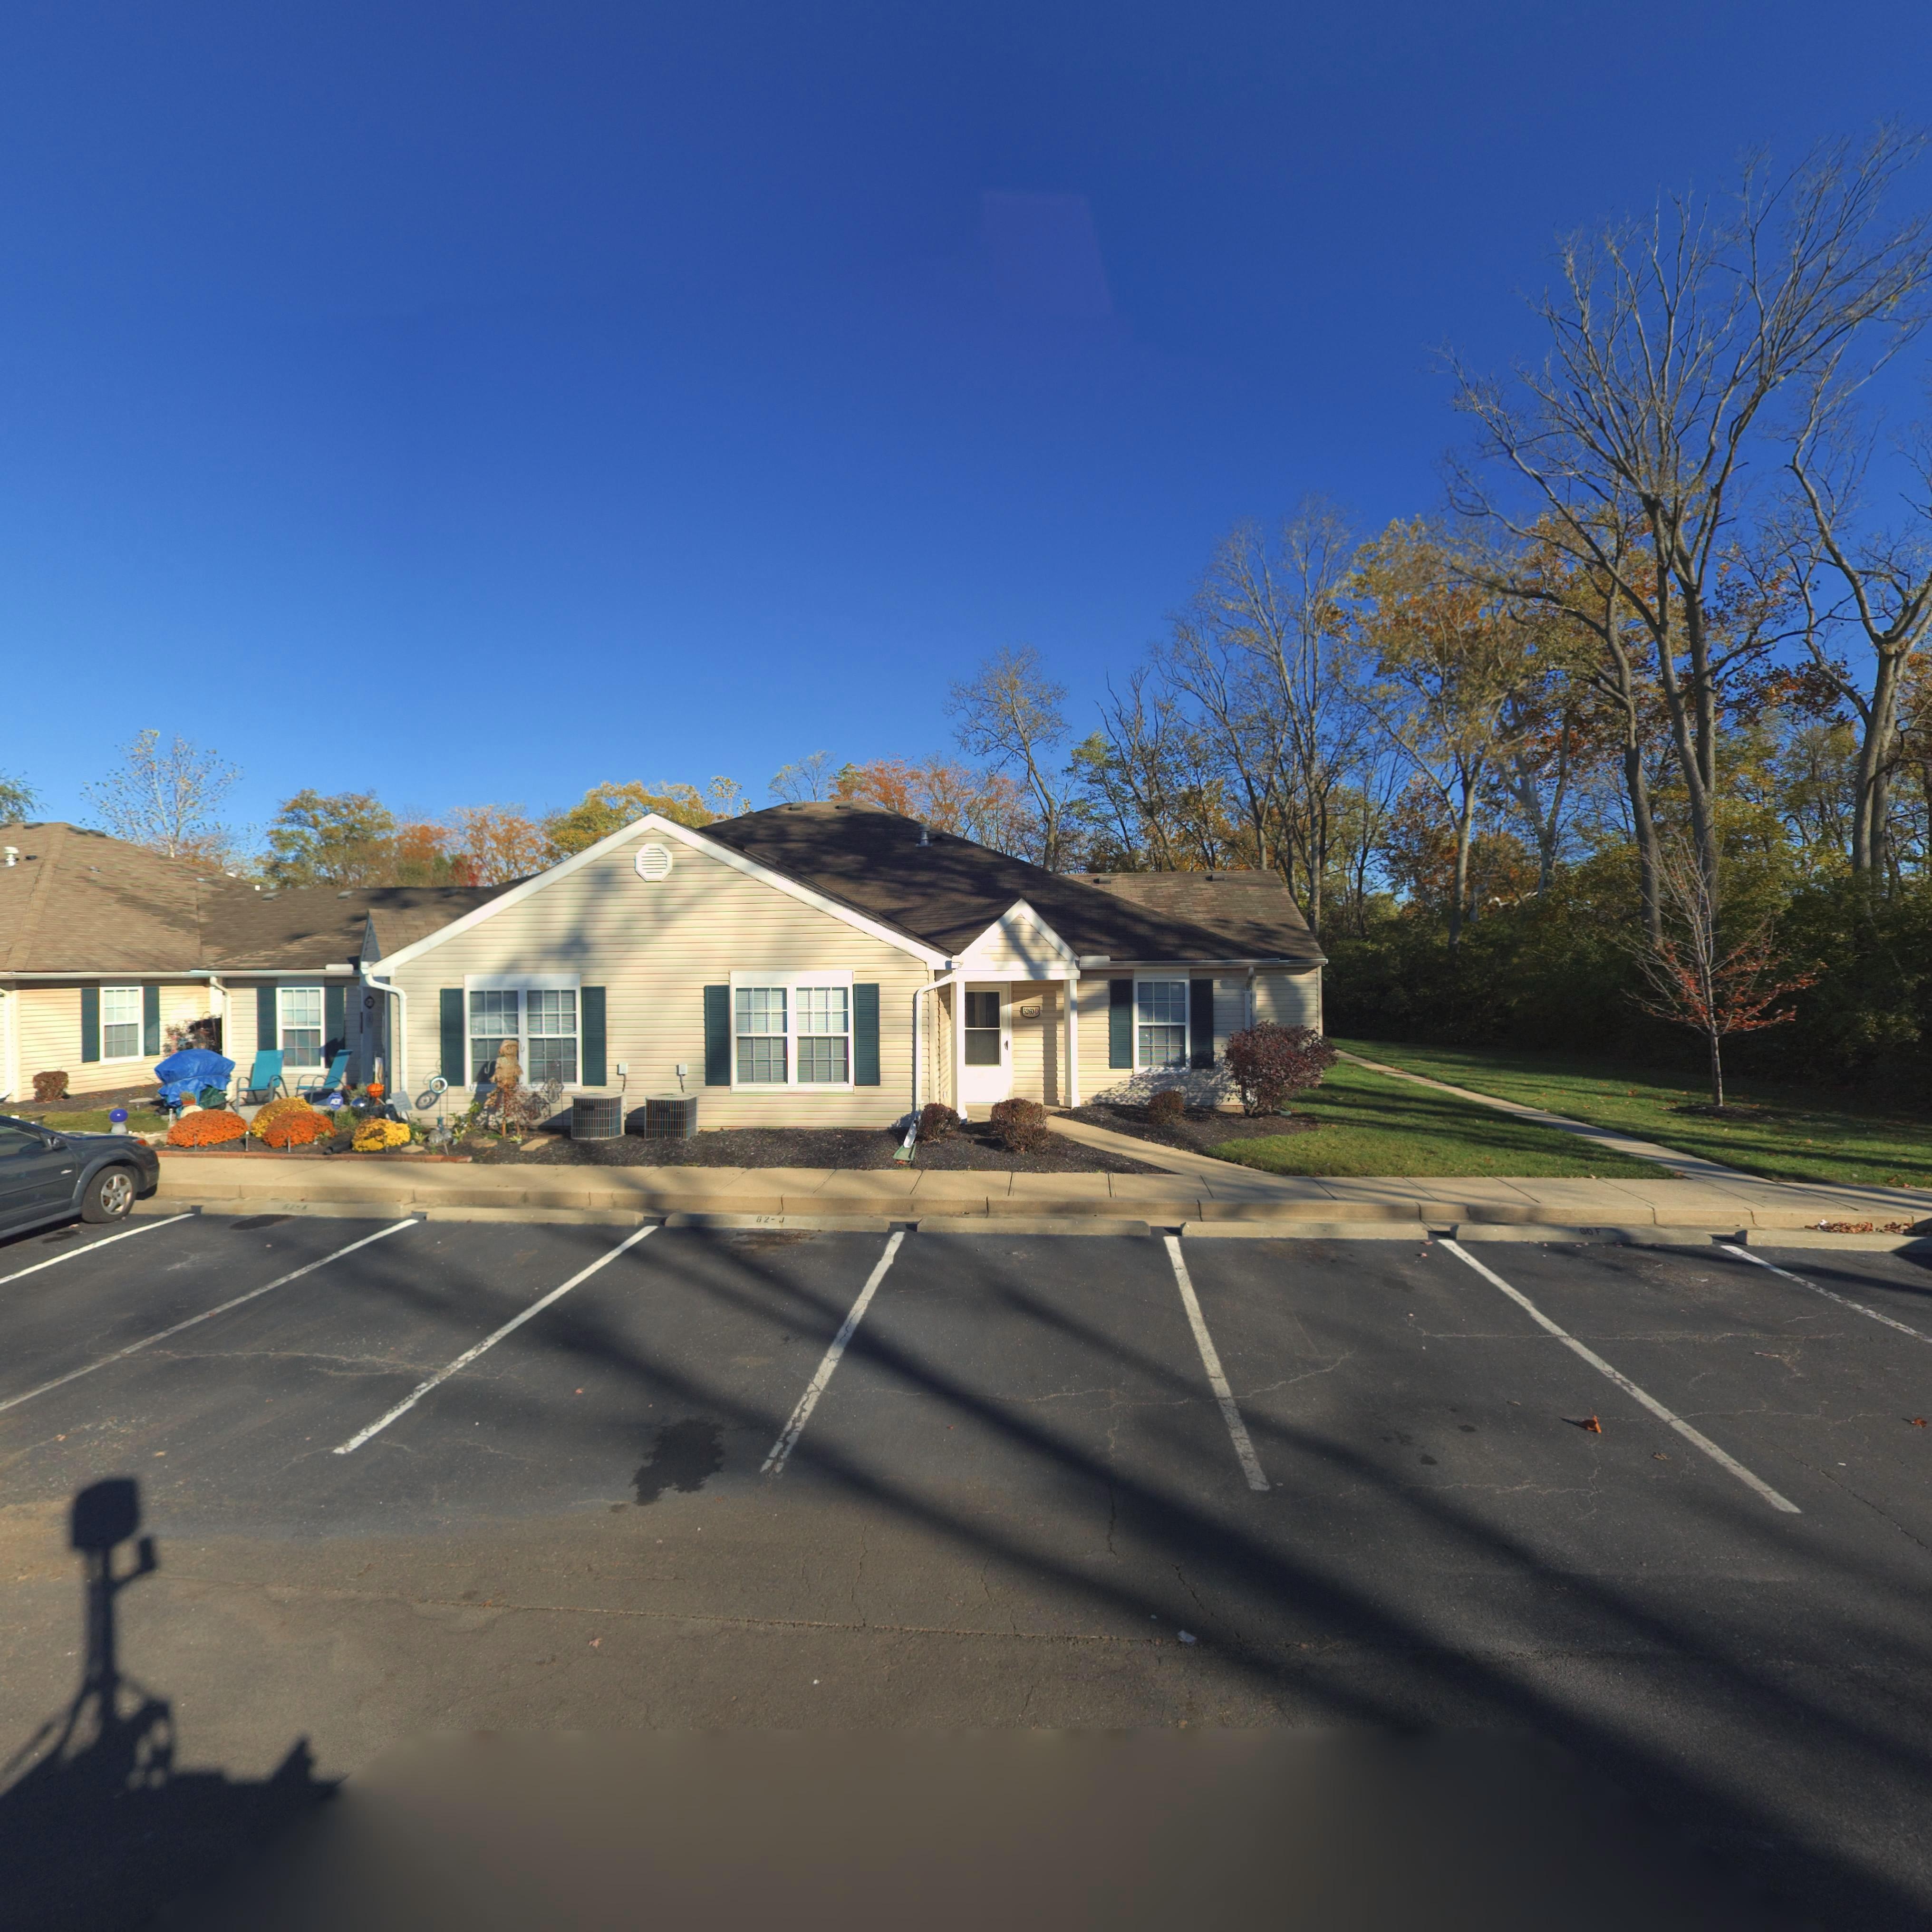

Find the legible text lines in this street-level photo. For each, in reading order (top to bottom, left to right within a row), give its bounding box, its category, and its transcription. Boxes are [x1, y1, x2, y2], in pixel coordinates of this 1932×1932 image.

[1023, 1007, 1039, 1014] StreetNumber: 5260-D